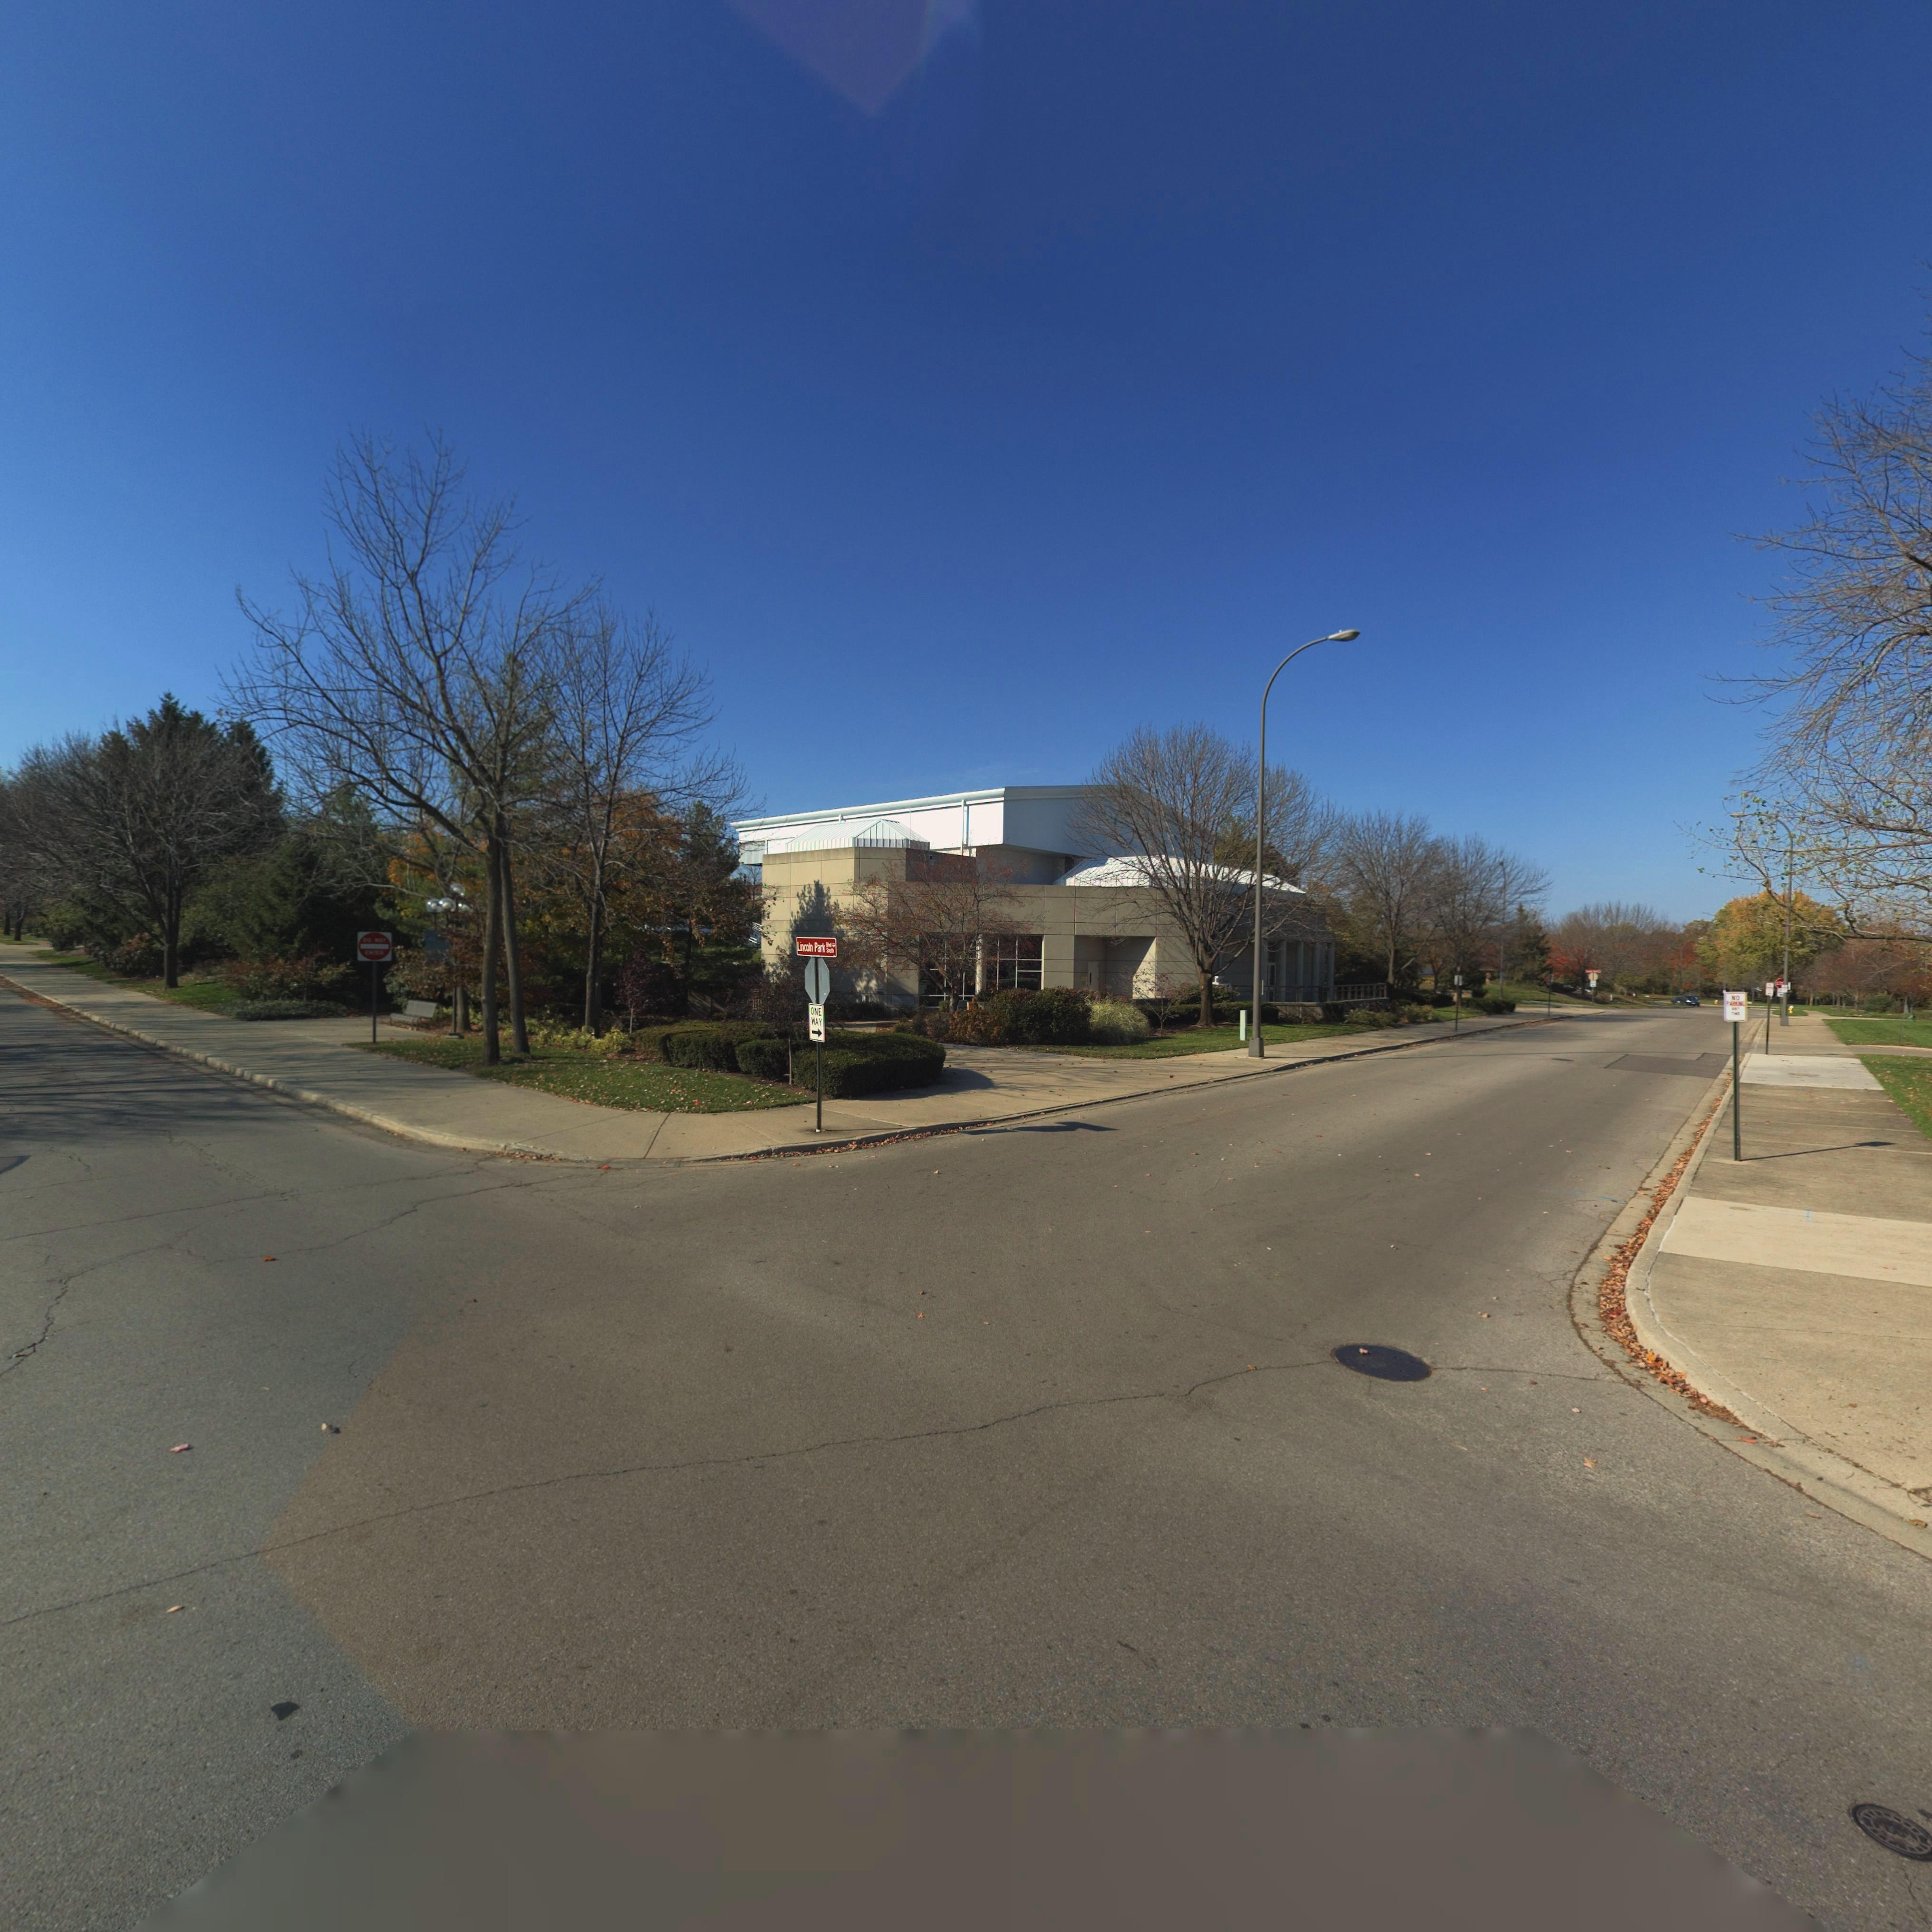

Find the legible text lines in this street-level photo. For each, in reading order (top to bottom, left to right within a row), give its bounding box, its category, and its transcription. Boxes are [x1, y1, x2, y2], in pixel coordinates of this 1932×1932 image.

[362, 937, 386, 943] None: DO NOT
[797, 941, 835, 954] StreetName: Lincoln Park Blvd South
[364, 949, 385, 955] None: ENTER
[1776, 981, 1783, 985] None: ST
[1730, 995, 1740, 1001] None: NO
[1725, 1001, 1746, 1006] None: PARKING
[810, 1006, 822, 1016] None: ONE
[1731, 1006, 1740, 1012] None: ANY
[1731, 1012, 1740, 1016] None: TIME
[810, 1016, 823, 1026] None: WAY